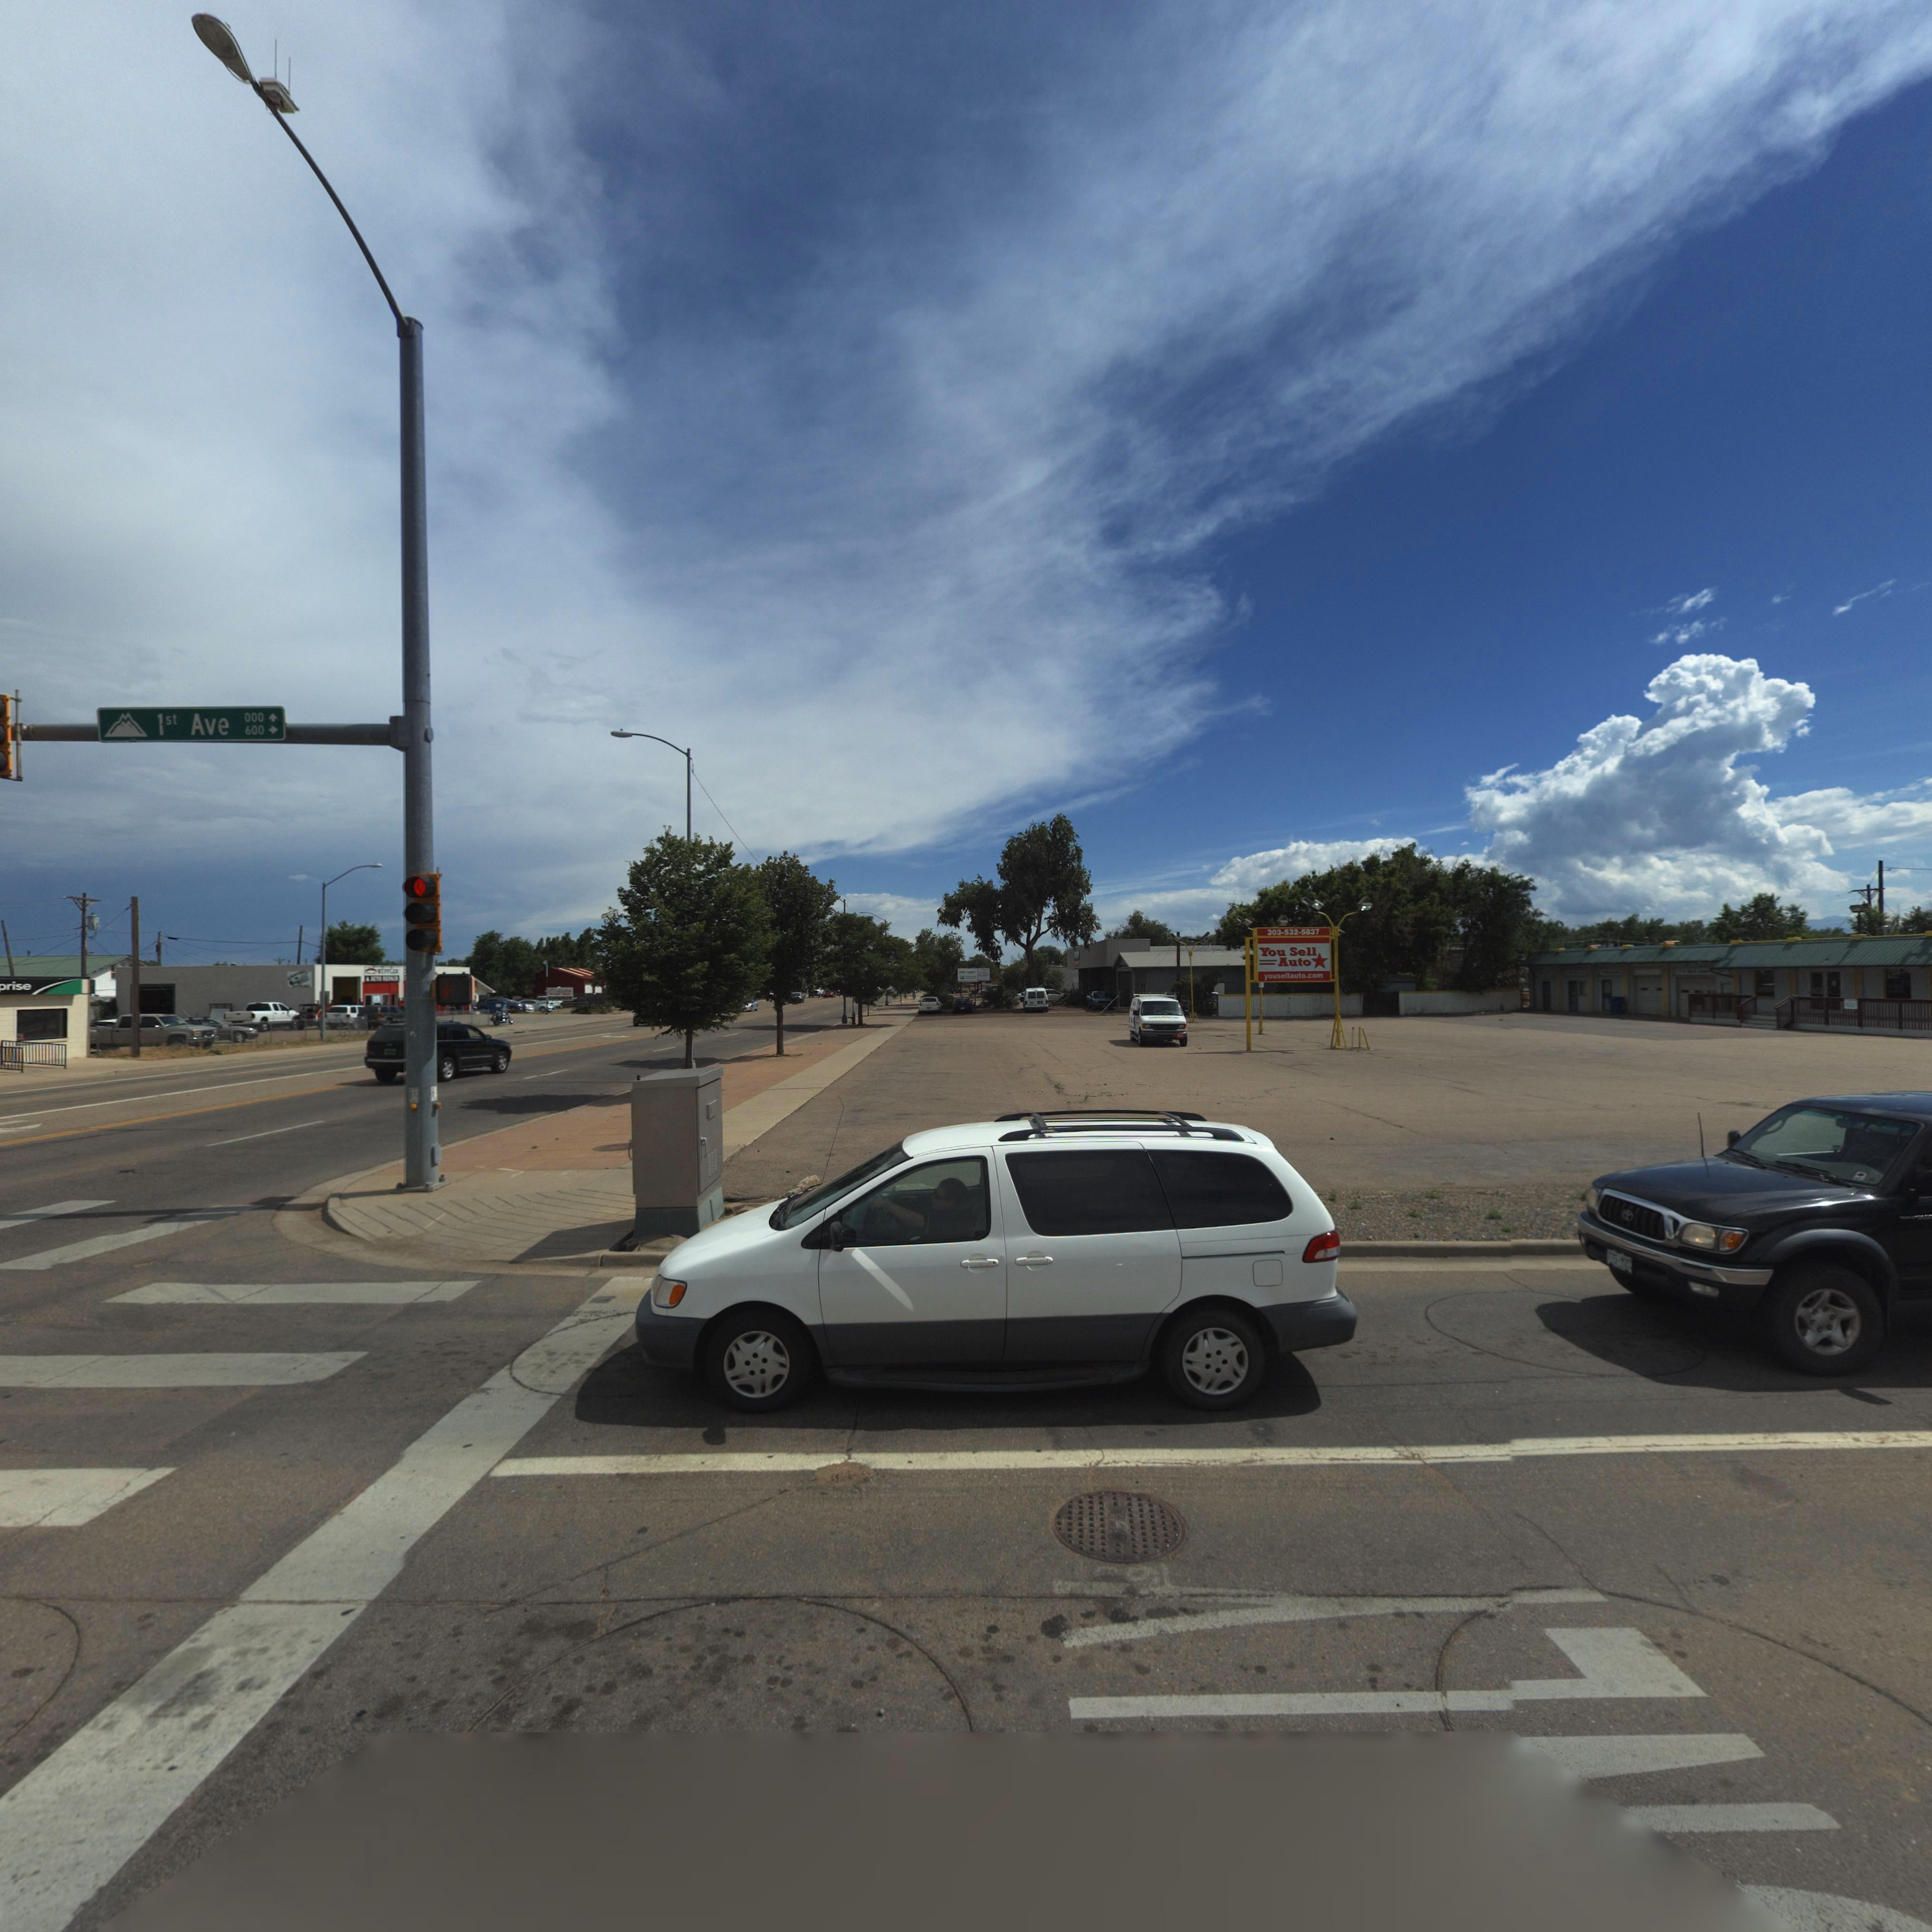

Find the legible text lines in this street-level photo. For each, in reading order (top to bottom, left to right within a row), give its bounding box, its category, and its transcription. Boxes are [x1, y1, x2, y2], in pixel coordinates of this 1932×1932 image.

[244, 712, 263, 722] StreetNumberRange: 000
[156, 712, 230, 736] StreetName: 1st Ave
[244, 724, 279, 735] StreetNumberRange: 600 ->
[1258, 947, 1317, 956] BusinessName: You Sell
[1277, 956, 1311, 966] BusinessName: Auto
[377, 968, 398, 974] BusinessName: **FFL**
[366, 976, 398, 981] BusinessName: * ***O ******
[6, 981, 32, 990] BusinessName: rise